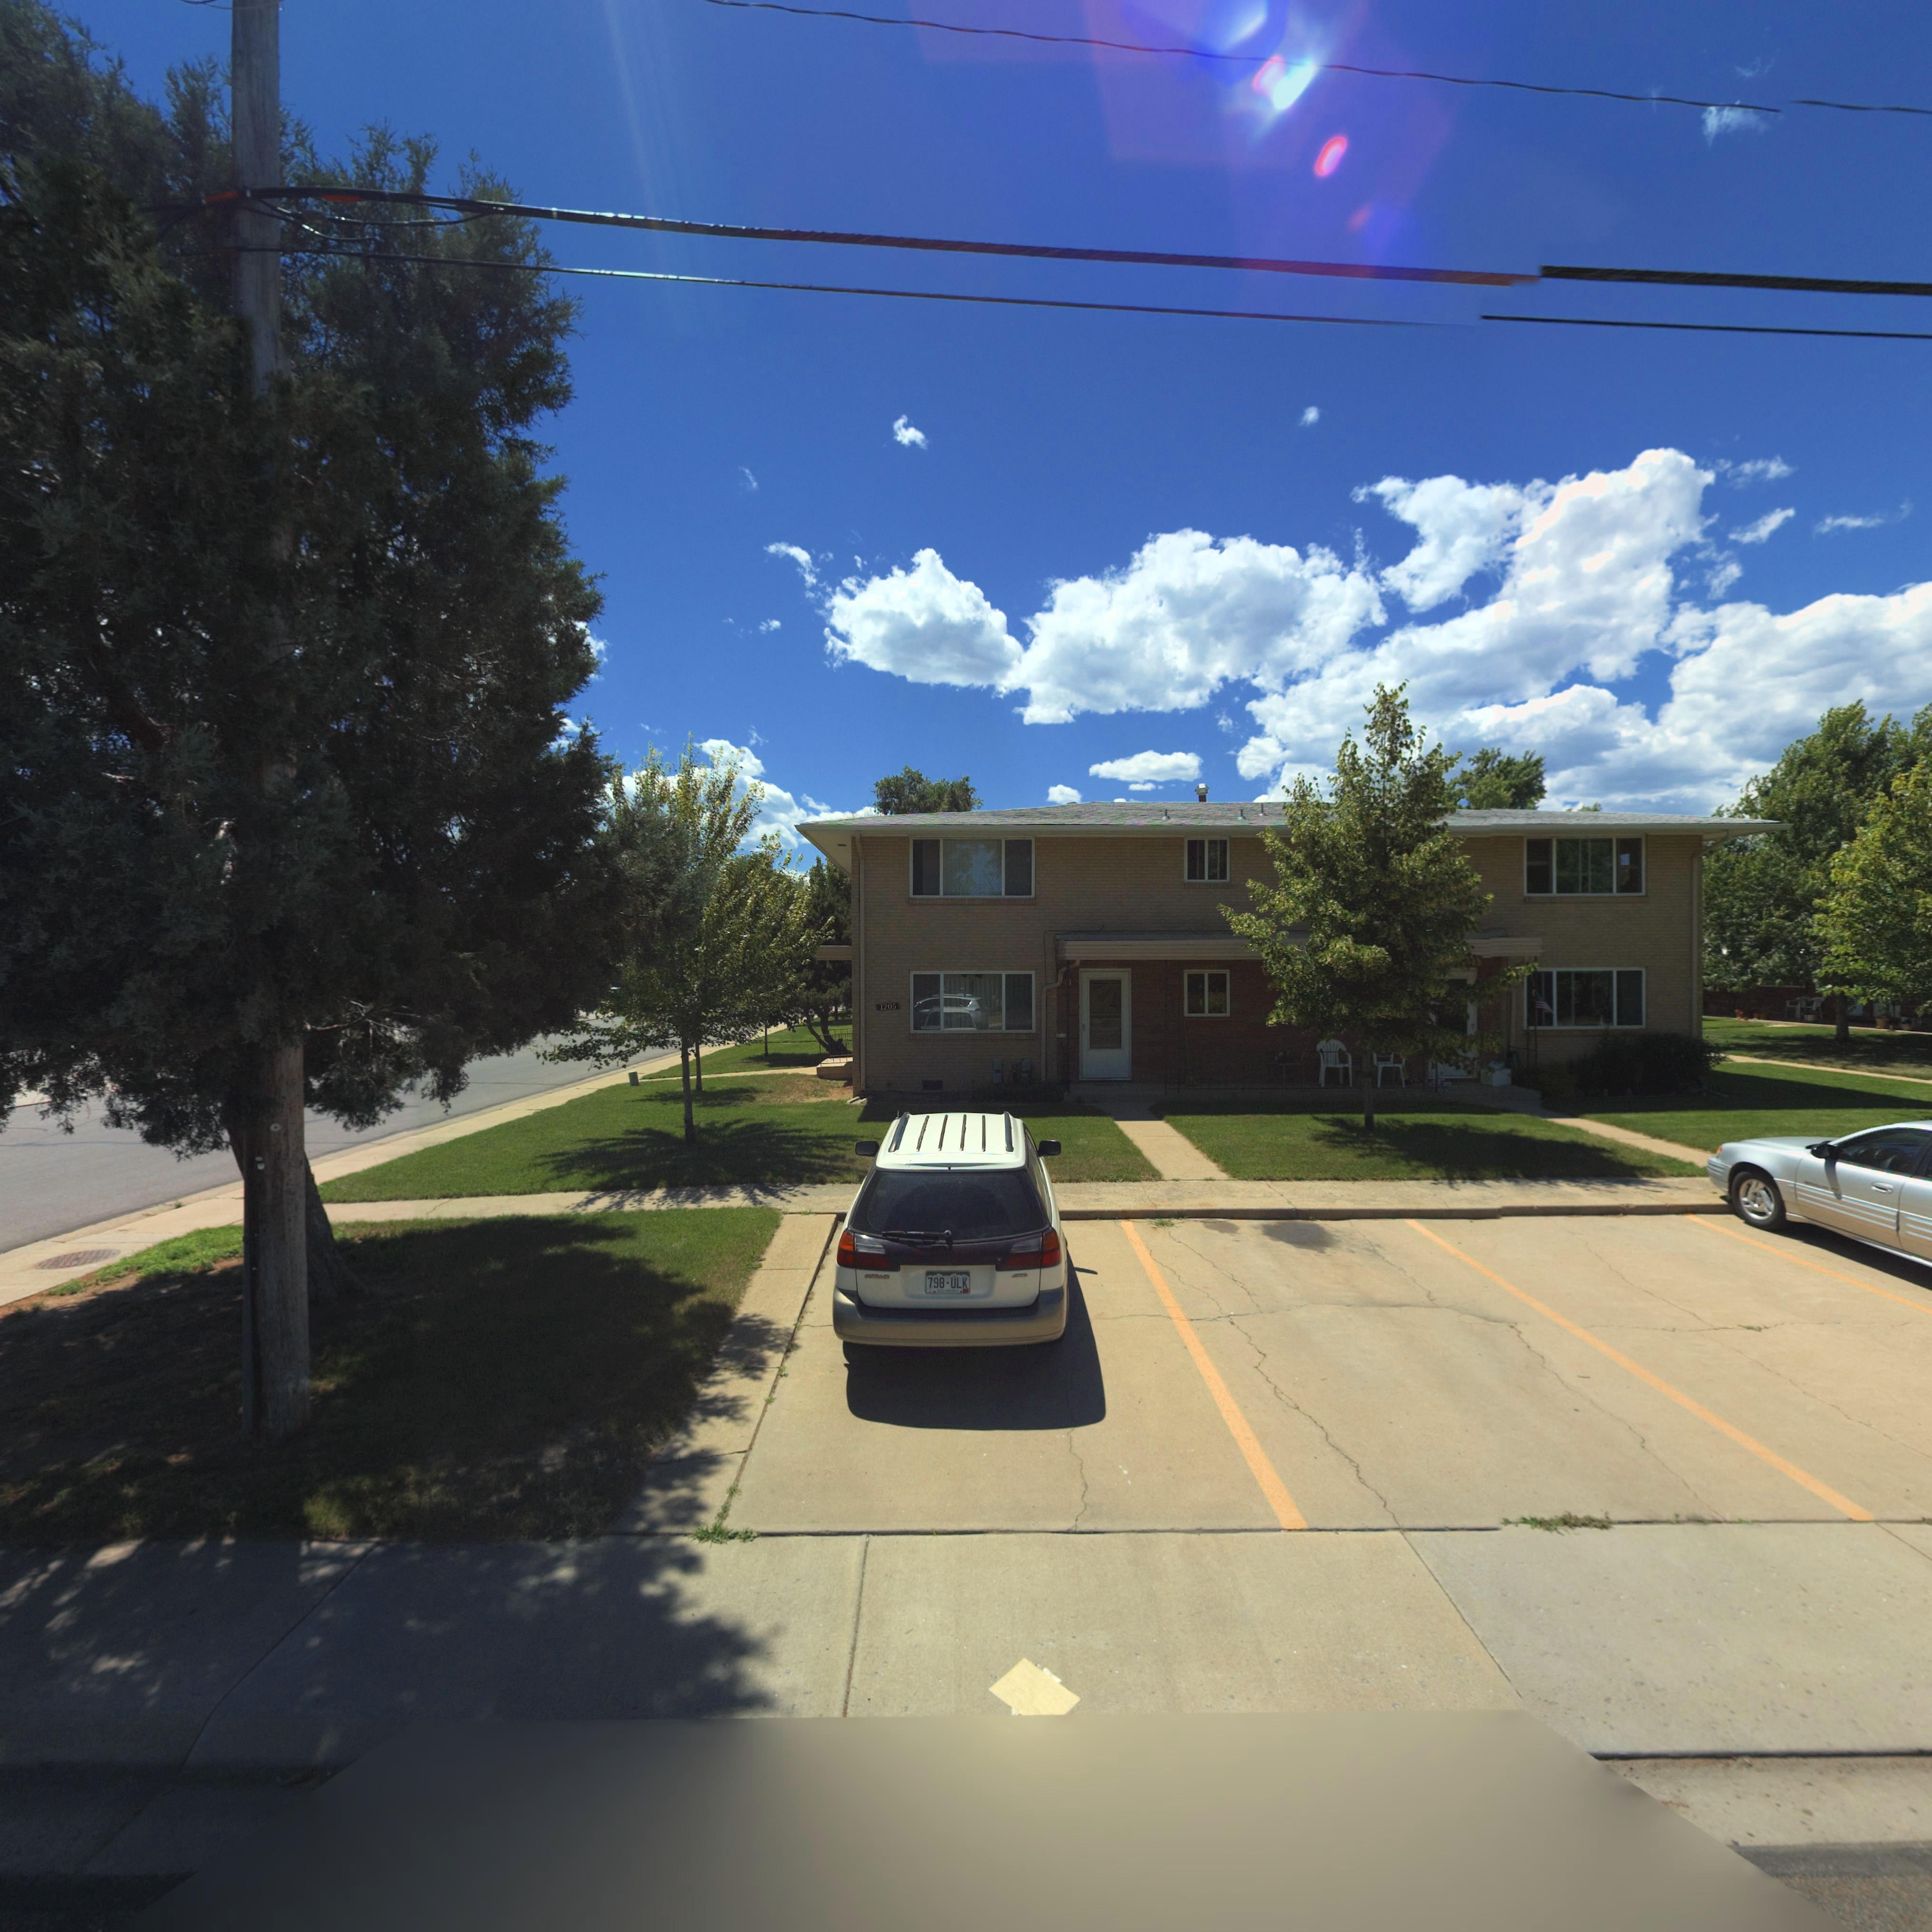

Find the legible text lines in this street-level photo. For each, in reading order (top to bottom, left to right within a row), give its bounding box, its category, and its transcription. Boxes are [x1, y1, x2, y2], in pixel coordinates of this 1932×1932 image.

[880, 1003, 896, 1010] StreetNumber: 1205